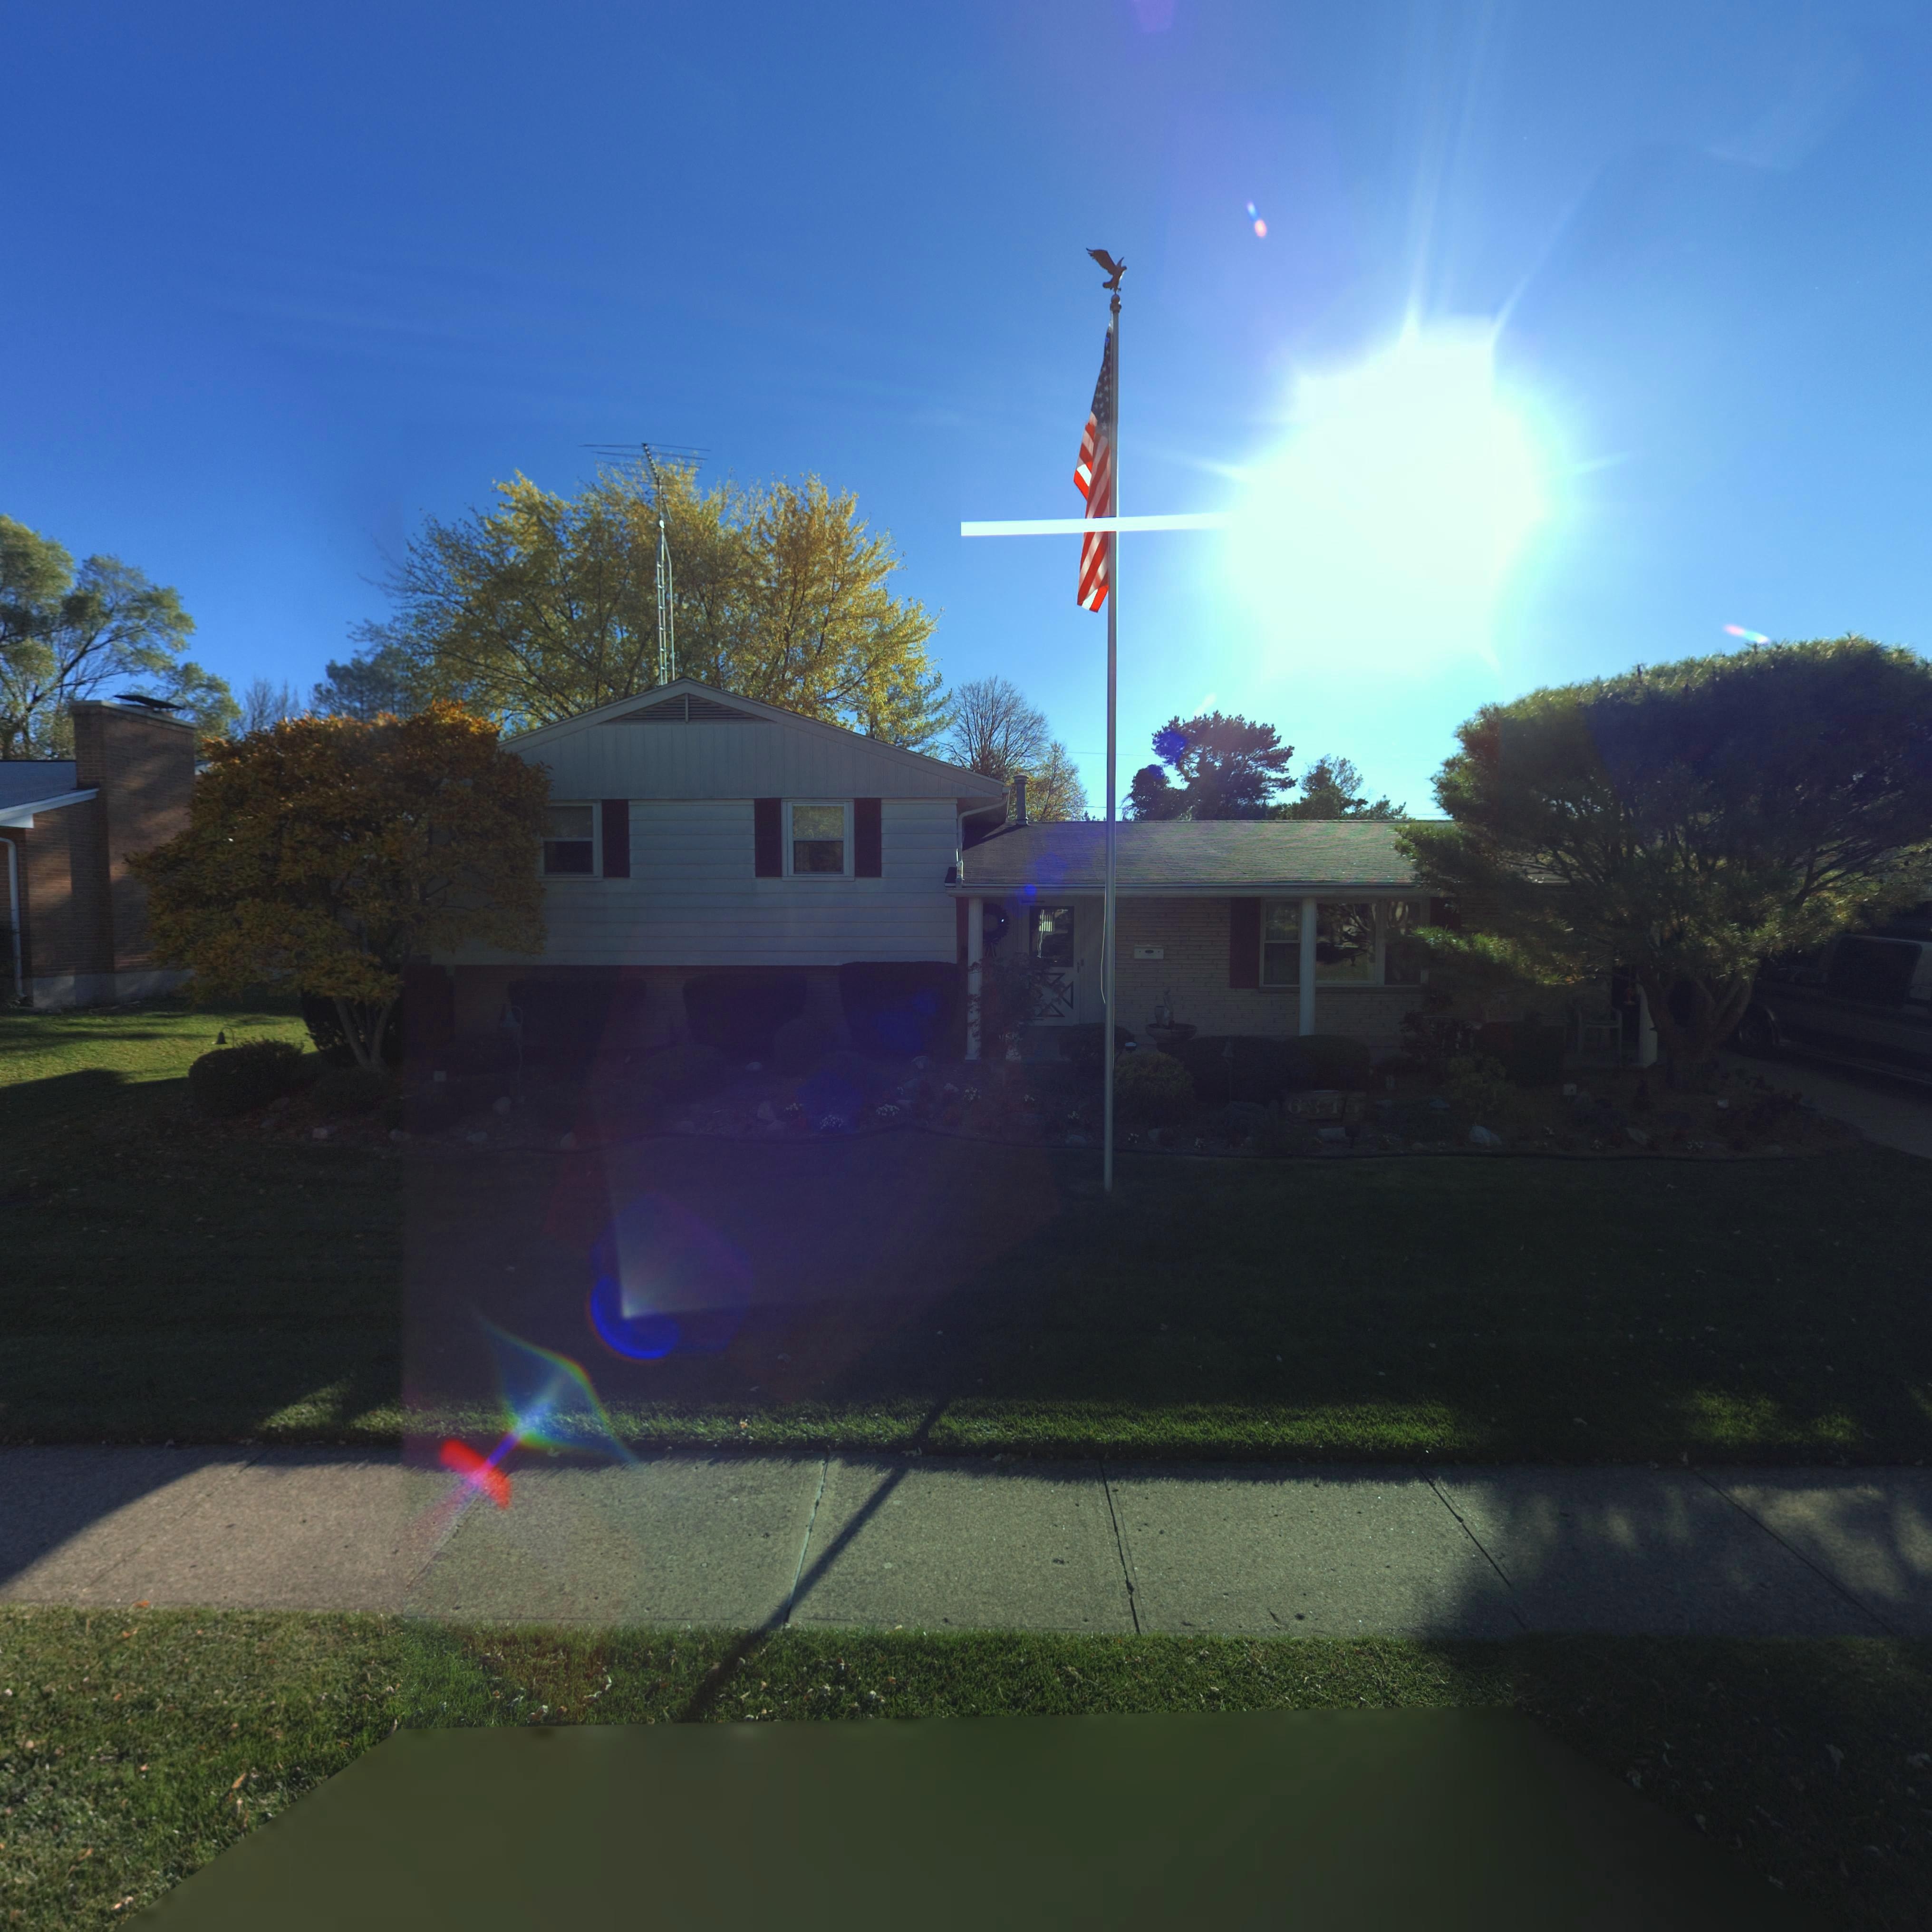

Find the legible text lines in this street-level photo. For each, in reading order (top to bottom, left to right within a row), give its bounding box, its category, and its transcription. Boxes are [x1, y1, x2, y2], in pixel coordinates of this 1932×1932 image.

[1287, 1097, 1361, 1115] StreetNumber: 6845